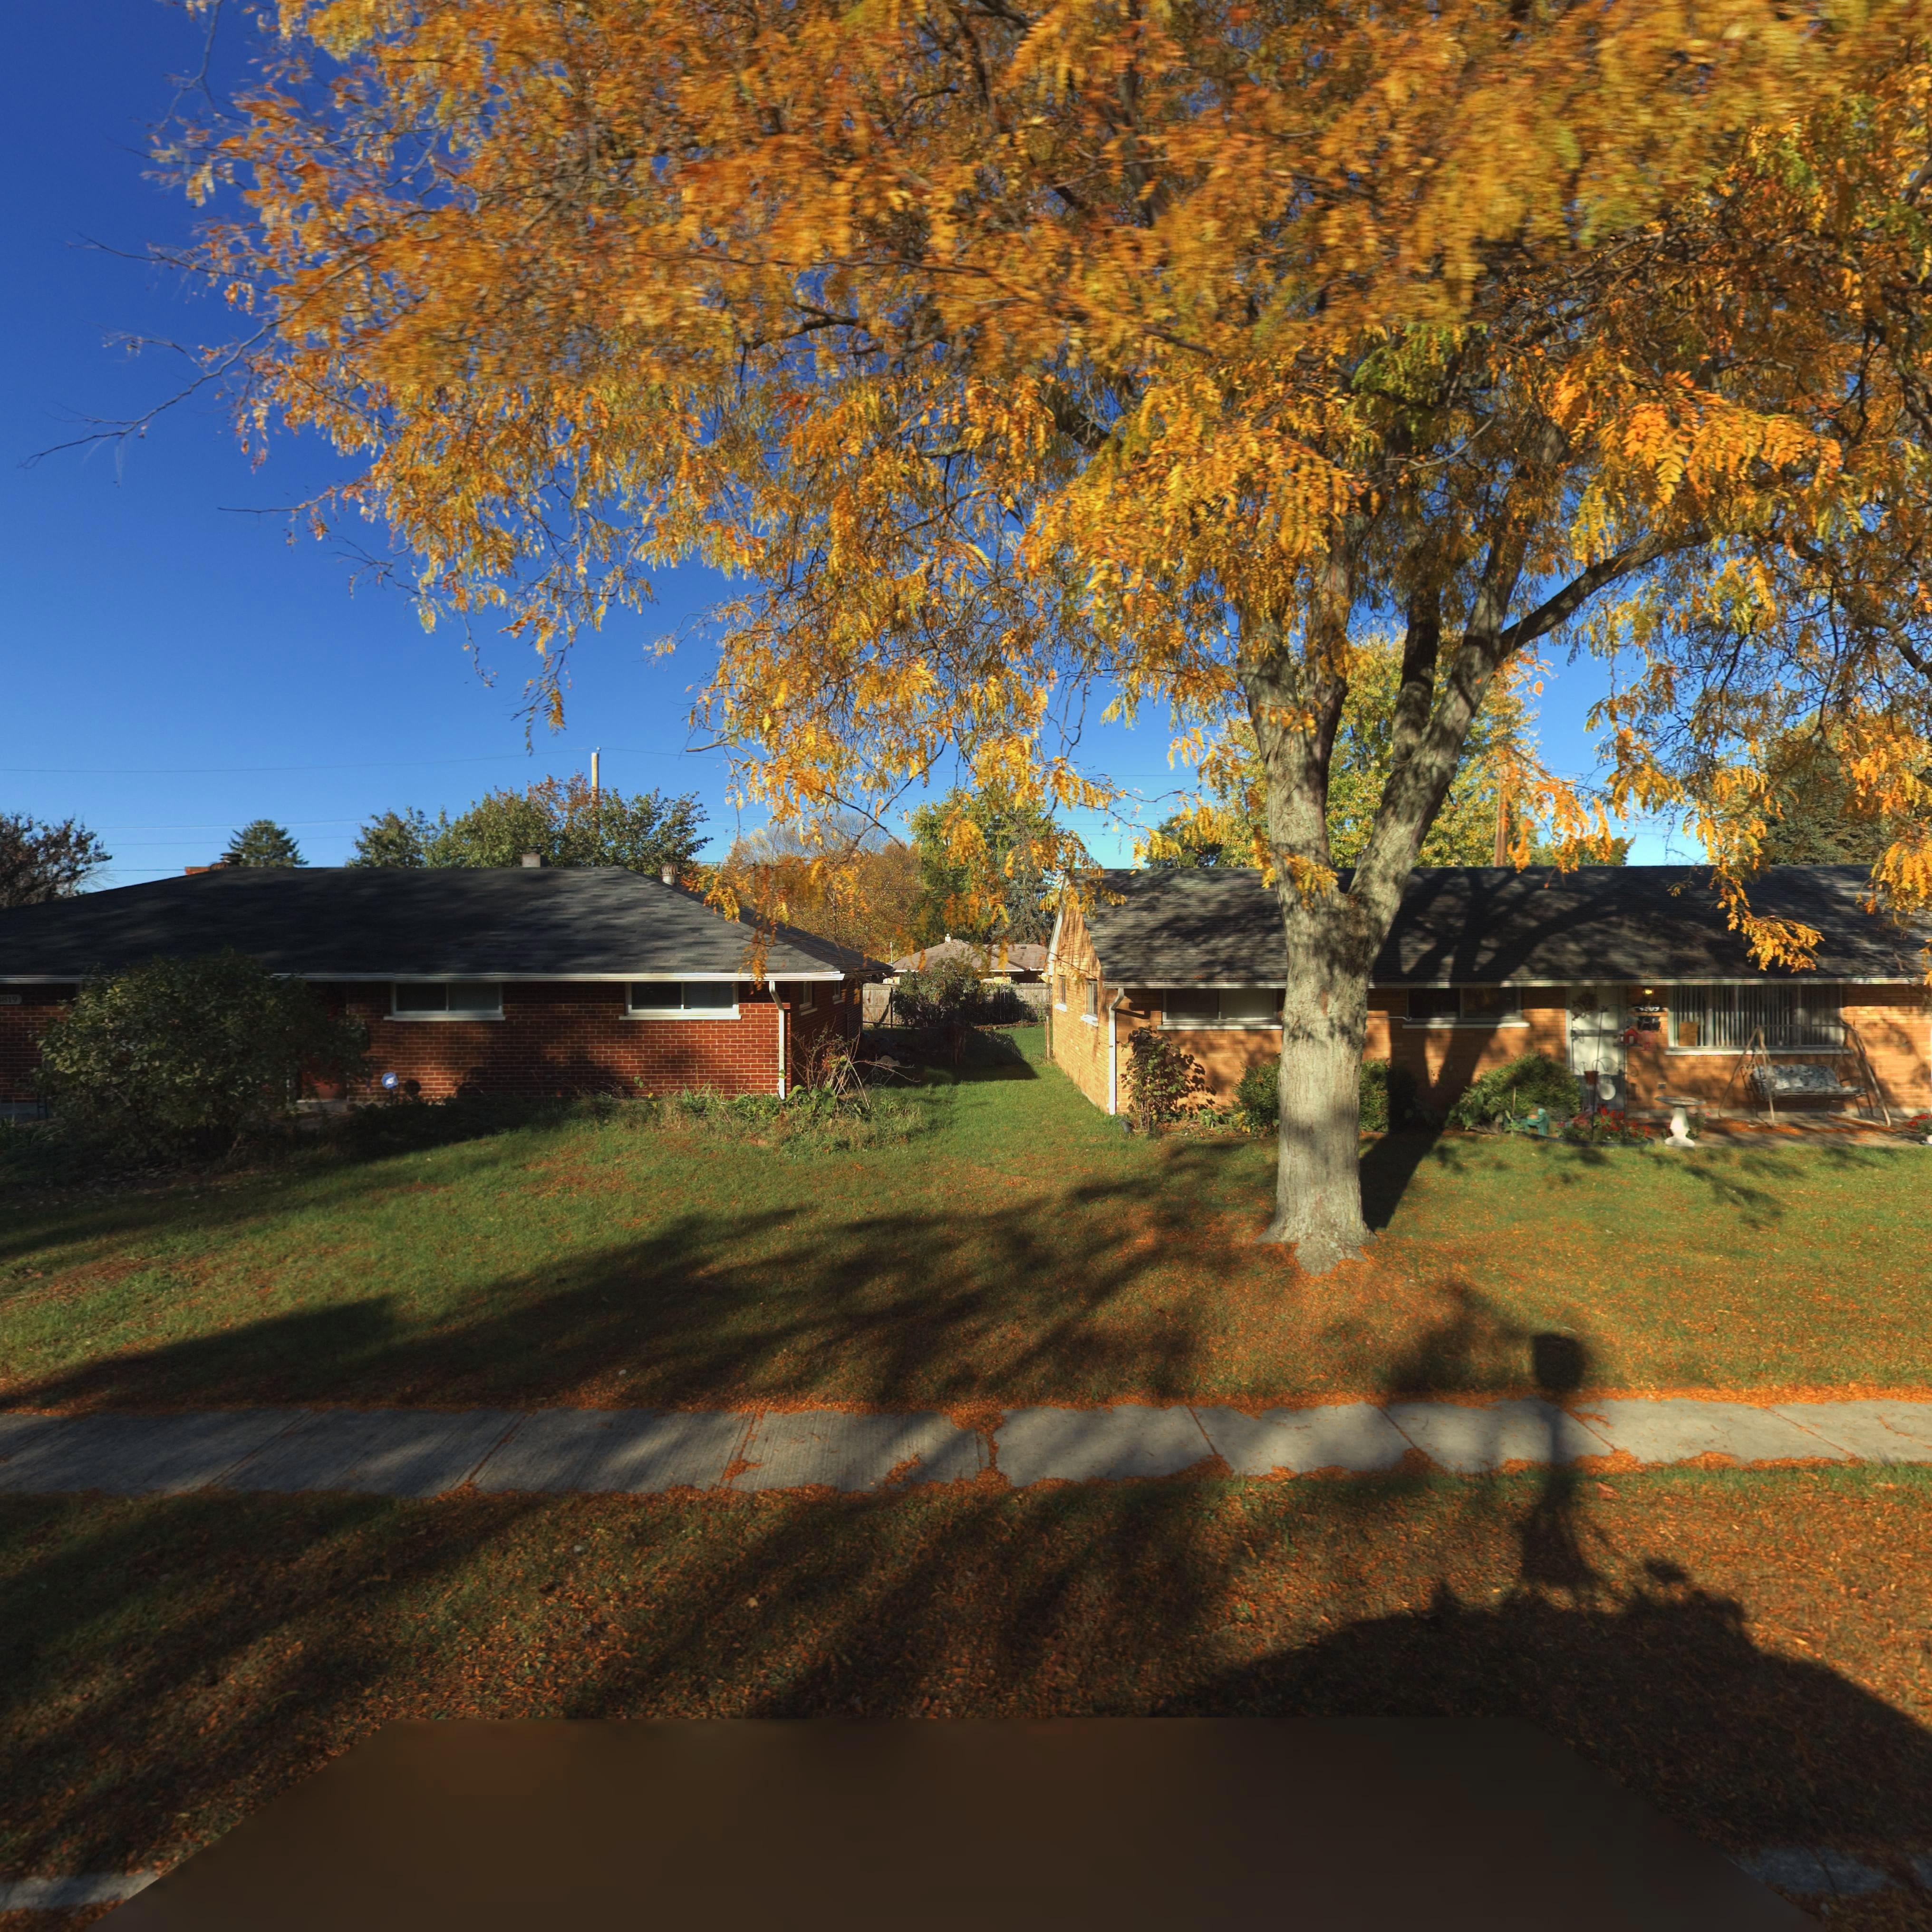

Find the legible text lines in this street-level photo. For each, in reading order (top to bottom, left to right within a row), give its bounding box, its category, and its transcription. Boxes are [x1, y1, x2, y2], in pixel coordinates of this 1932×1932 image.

[1638, 1004, 1661, 1012] StreetNumber: 4*09